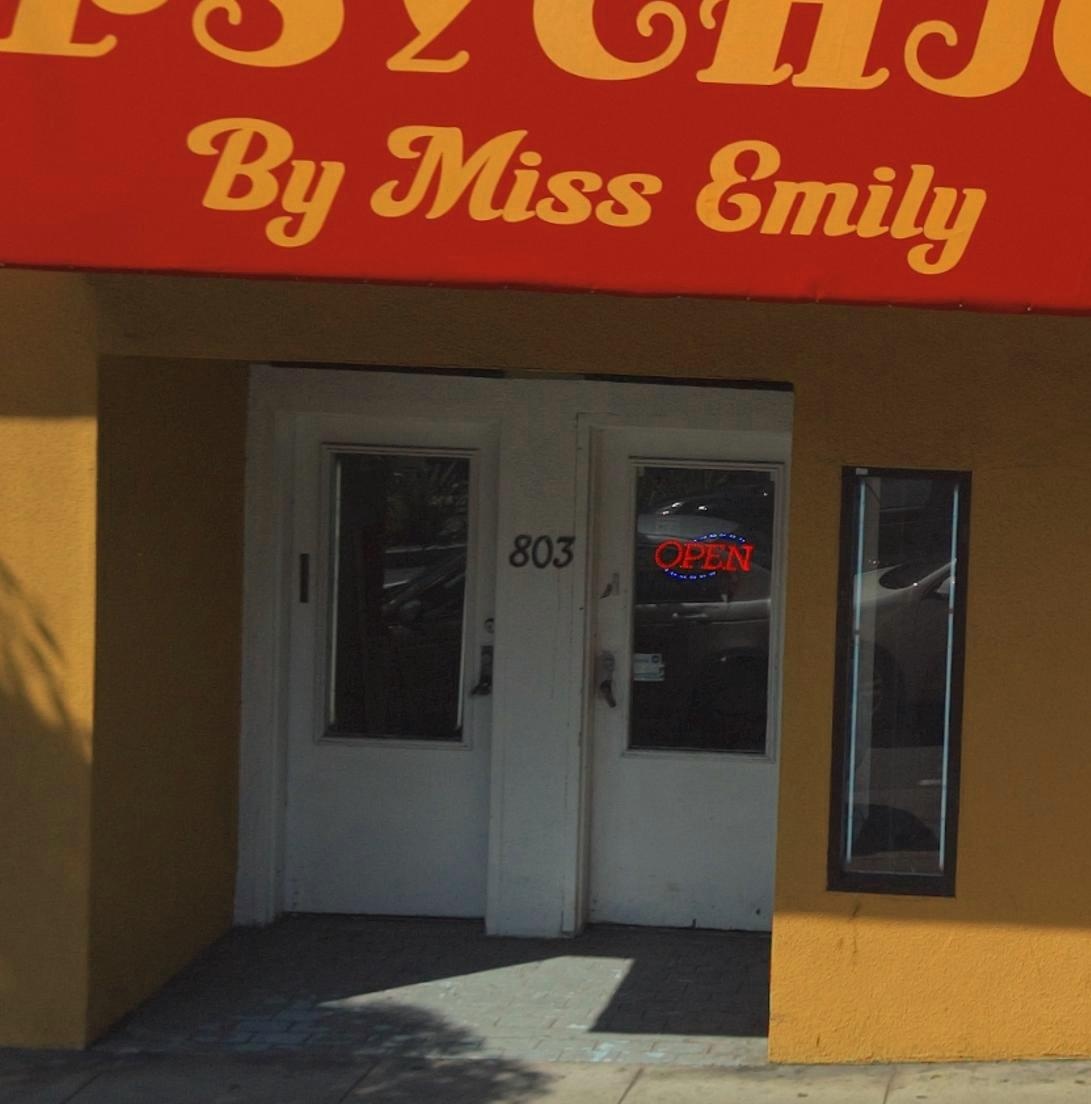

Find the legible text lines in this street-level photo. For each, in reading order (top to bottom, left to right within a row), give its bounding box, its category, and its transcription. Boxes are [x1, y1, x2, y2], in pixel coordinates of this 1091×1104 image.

[178, 106, 997, 283] None: By Miss Emily
[505, 532, 578, 572] StreetNumber: 803
[652, 537, 756, 572] None: OPEN